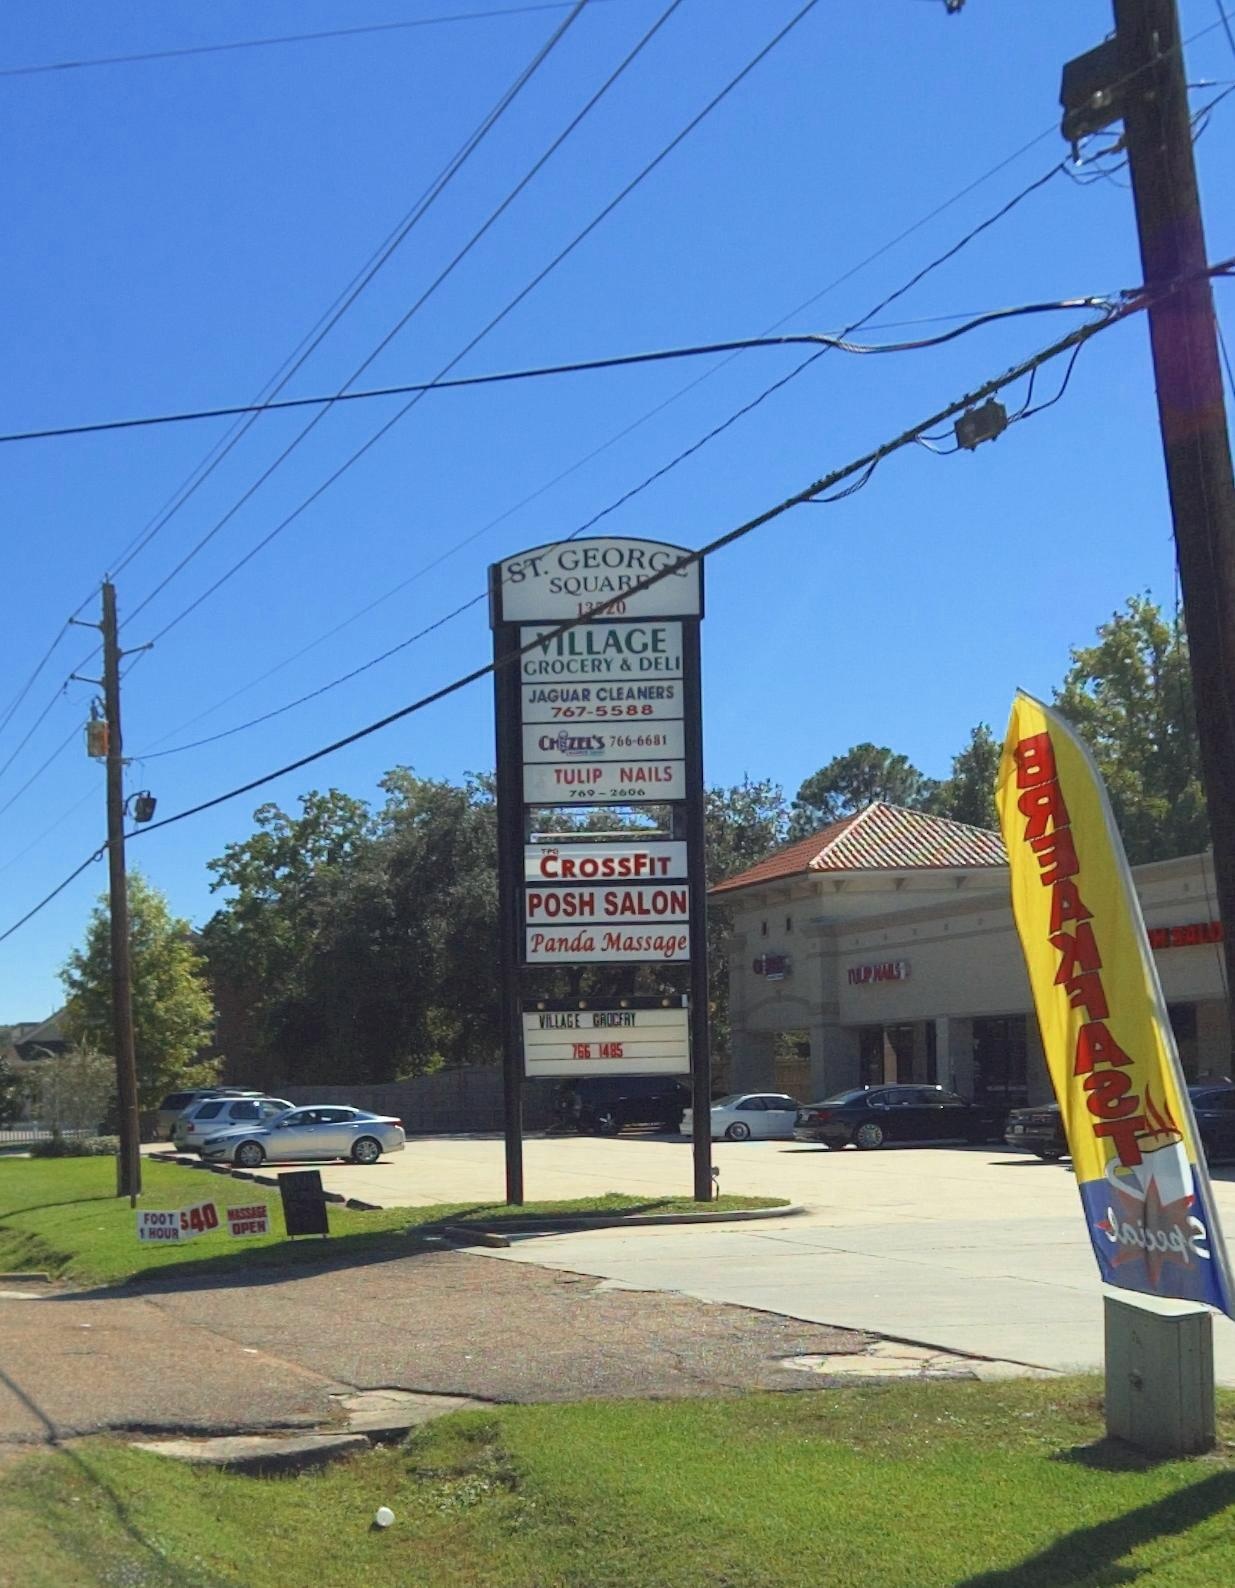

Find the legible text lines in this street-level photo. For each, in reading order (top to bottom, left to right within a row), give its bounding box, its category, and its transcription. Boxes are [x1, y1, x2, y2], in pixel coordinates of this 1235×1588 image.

[504, 546, 695, 588] BusinessName: ST. GEOR**
[548, 572, 651, 597] BusinessName: SQUAR*
[576, 599, 628, 618] StreetNumber: 1***0
[534, 627, 669, 658] BusinessName: *ILLAGE
[522, 654, 682, 677] BusinessName: GROCERY & DELI
[527, 684, 675, 704] BusinessName: JAGUAR CLEANERS
[549, 704, 656, 718] None: 767-5588
[539, 729, 606, 754] BusinessName: CHIZEL'S
[609, 732, 668, 747] None: 766-6681
[553, 764, 673, 786] BusinessName: TULIP NAILS
[568, 787, 647, 799] None: 769-2***
[539, 853, 673, 880] BusinessName: CROSSFIT
[528, 889, 687, 918] BusinessName: POSH SALON
[529, 927, 687, 955] BusinessName: Panda Massage
[1009, 728, 1149, 1171] None: ***A**A*T
[1151, 920, 1224, 951] BusinessName: H SALO
[844, 961, 906, 987] BusinessName: TULIP NAILS
[538, 1011, 638, 1030] None: VILLAGE GROCERY
[569, 1042, 623, 1060] None: 766 1485
[143, 1212, 175, 1226] None: FOOT
[139, 1226, 180, 1240] None: 1 HOUR
[188, 1200, 222, 1236] None: 40
[226, 1204, 269, 1223] None: MASSAGE
[231, 1220, 267, 1236] None: OPEN
[1103, 1205, 1213, 1265] None: **i****